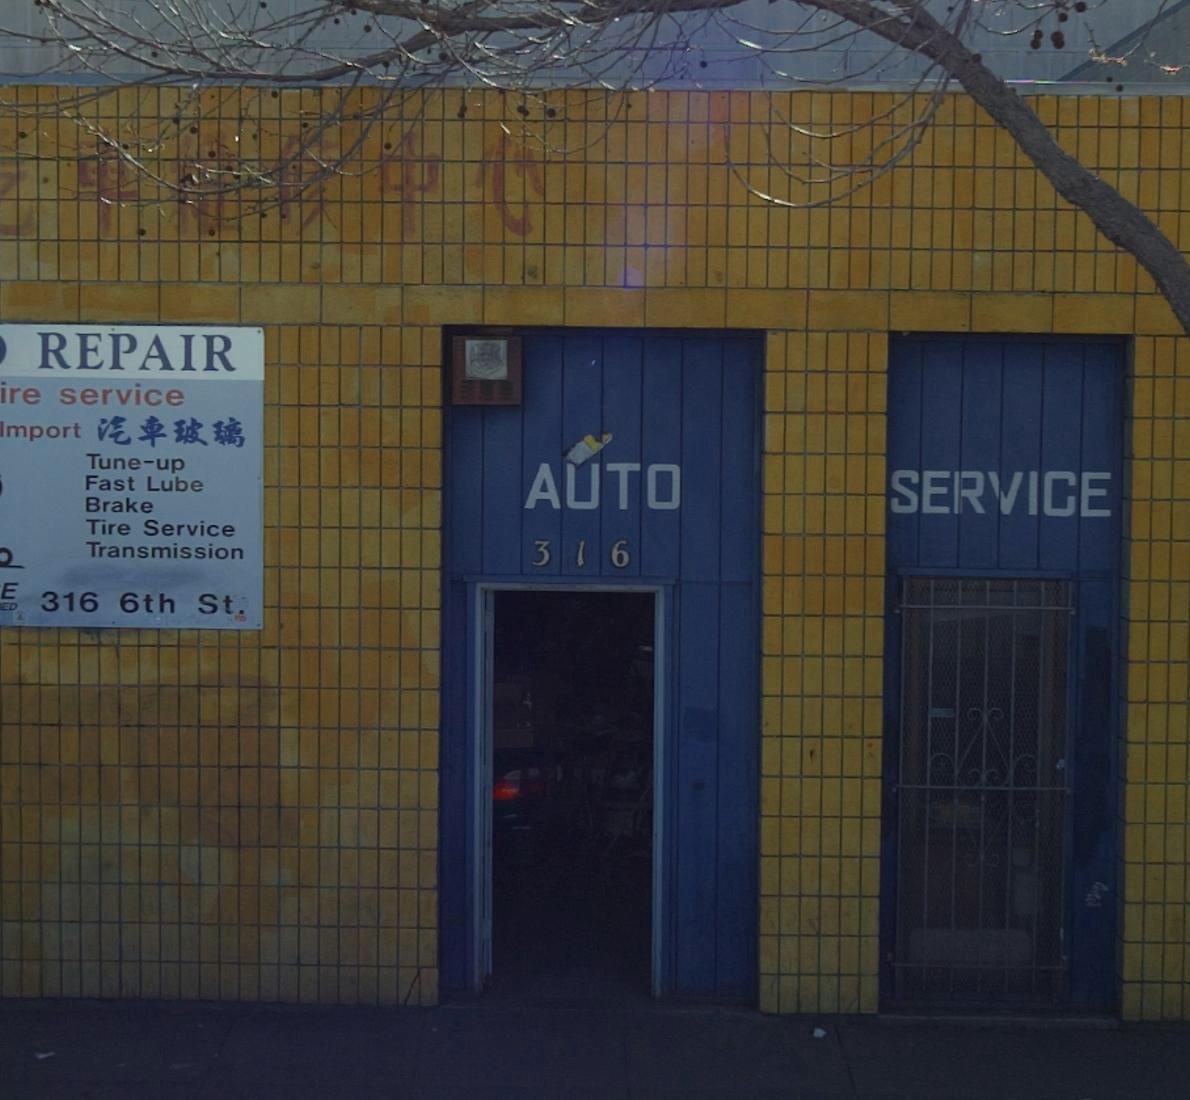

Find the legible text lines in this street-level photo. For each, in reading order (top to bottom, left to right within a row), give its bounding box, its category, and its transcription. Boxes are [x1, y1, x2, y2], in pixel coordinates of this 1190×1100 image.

[33, 329, 238, 374] None: REPAIR
[0, 379, 186, 409] None: ire service
[0, 417, 82, 444] None: Import
[82, 451, 189, 475] None: Tune-up
[83, 495, 155, 515] None: Brake
[82, 472, 207, 494] None: Fast Lube
[520, 460, 683, 515] None: AUTO
[887, 466, 1114, 521] None: SERVICE
[83, 516, 237, 540] None: Tire Service
[84, 538, 246, 561] None: Transmission
[530, 537, 632, 569] StreetNumber: 316
[39, 588, 102, 617] StreetNumber: 316
[117, 590, 249, 616] StreetName: 6th St.